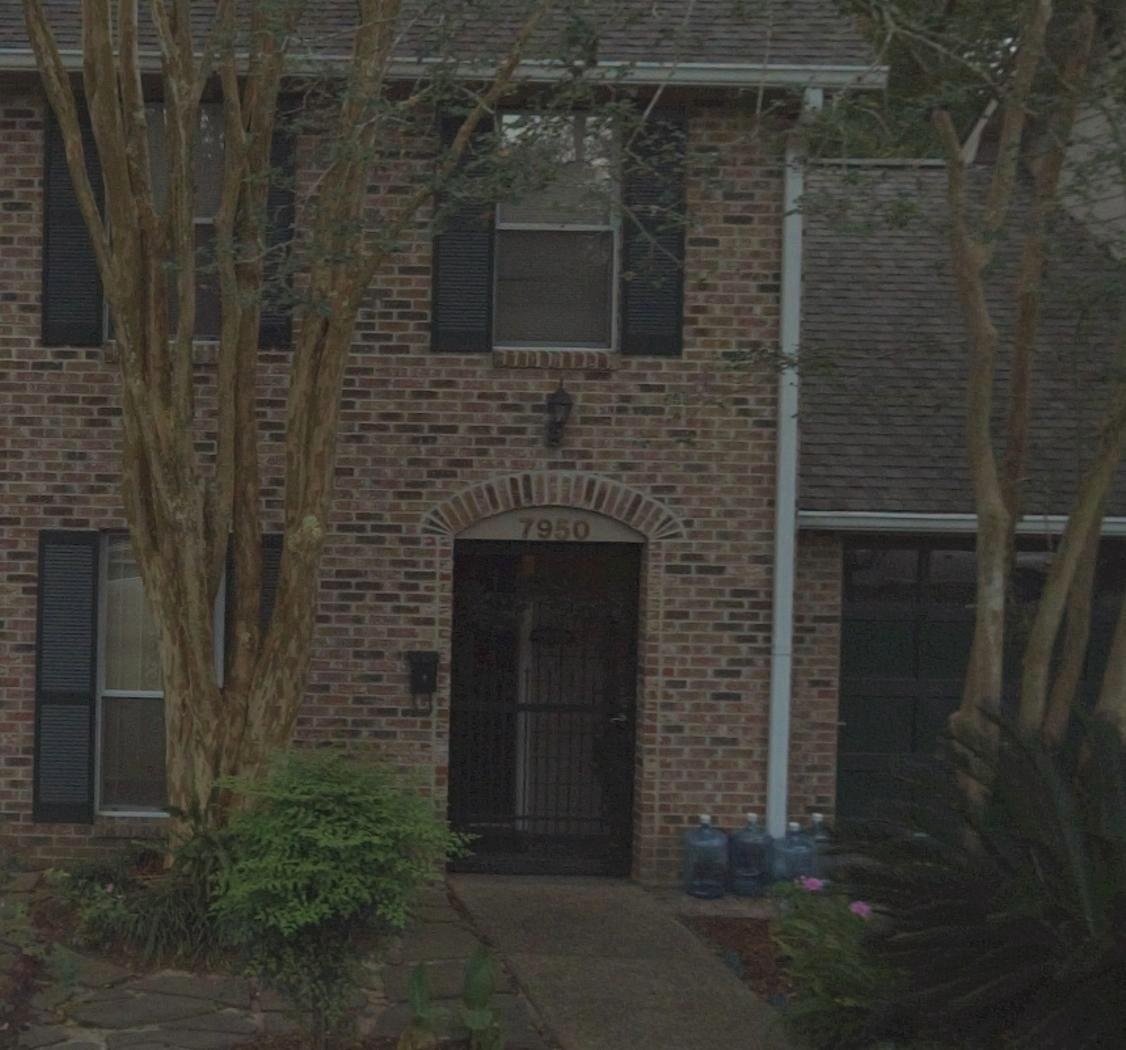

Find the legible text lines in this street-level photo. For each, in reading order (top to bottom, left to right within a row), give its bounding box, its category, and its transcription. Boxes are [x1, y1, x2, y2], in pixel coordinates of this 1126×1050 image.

[516, 516, 592, 541] StreetNumber: 7950